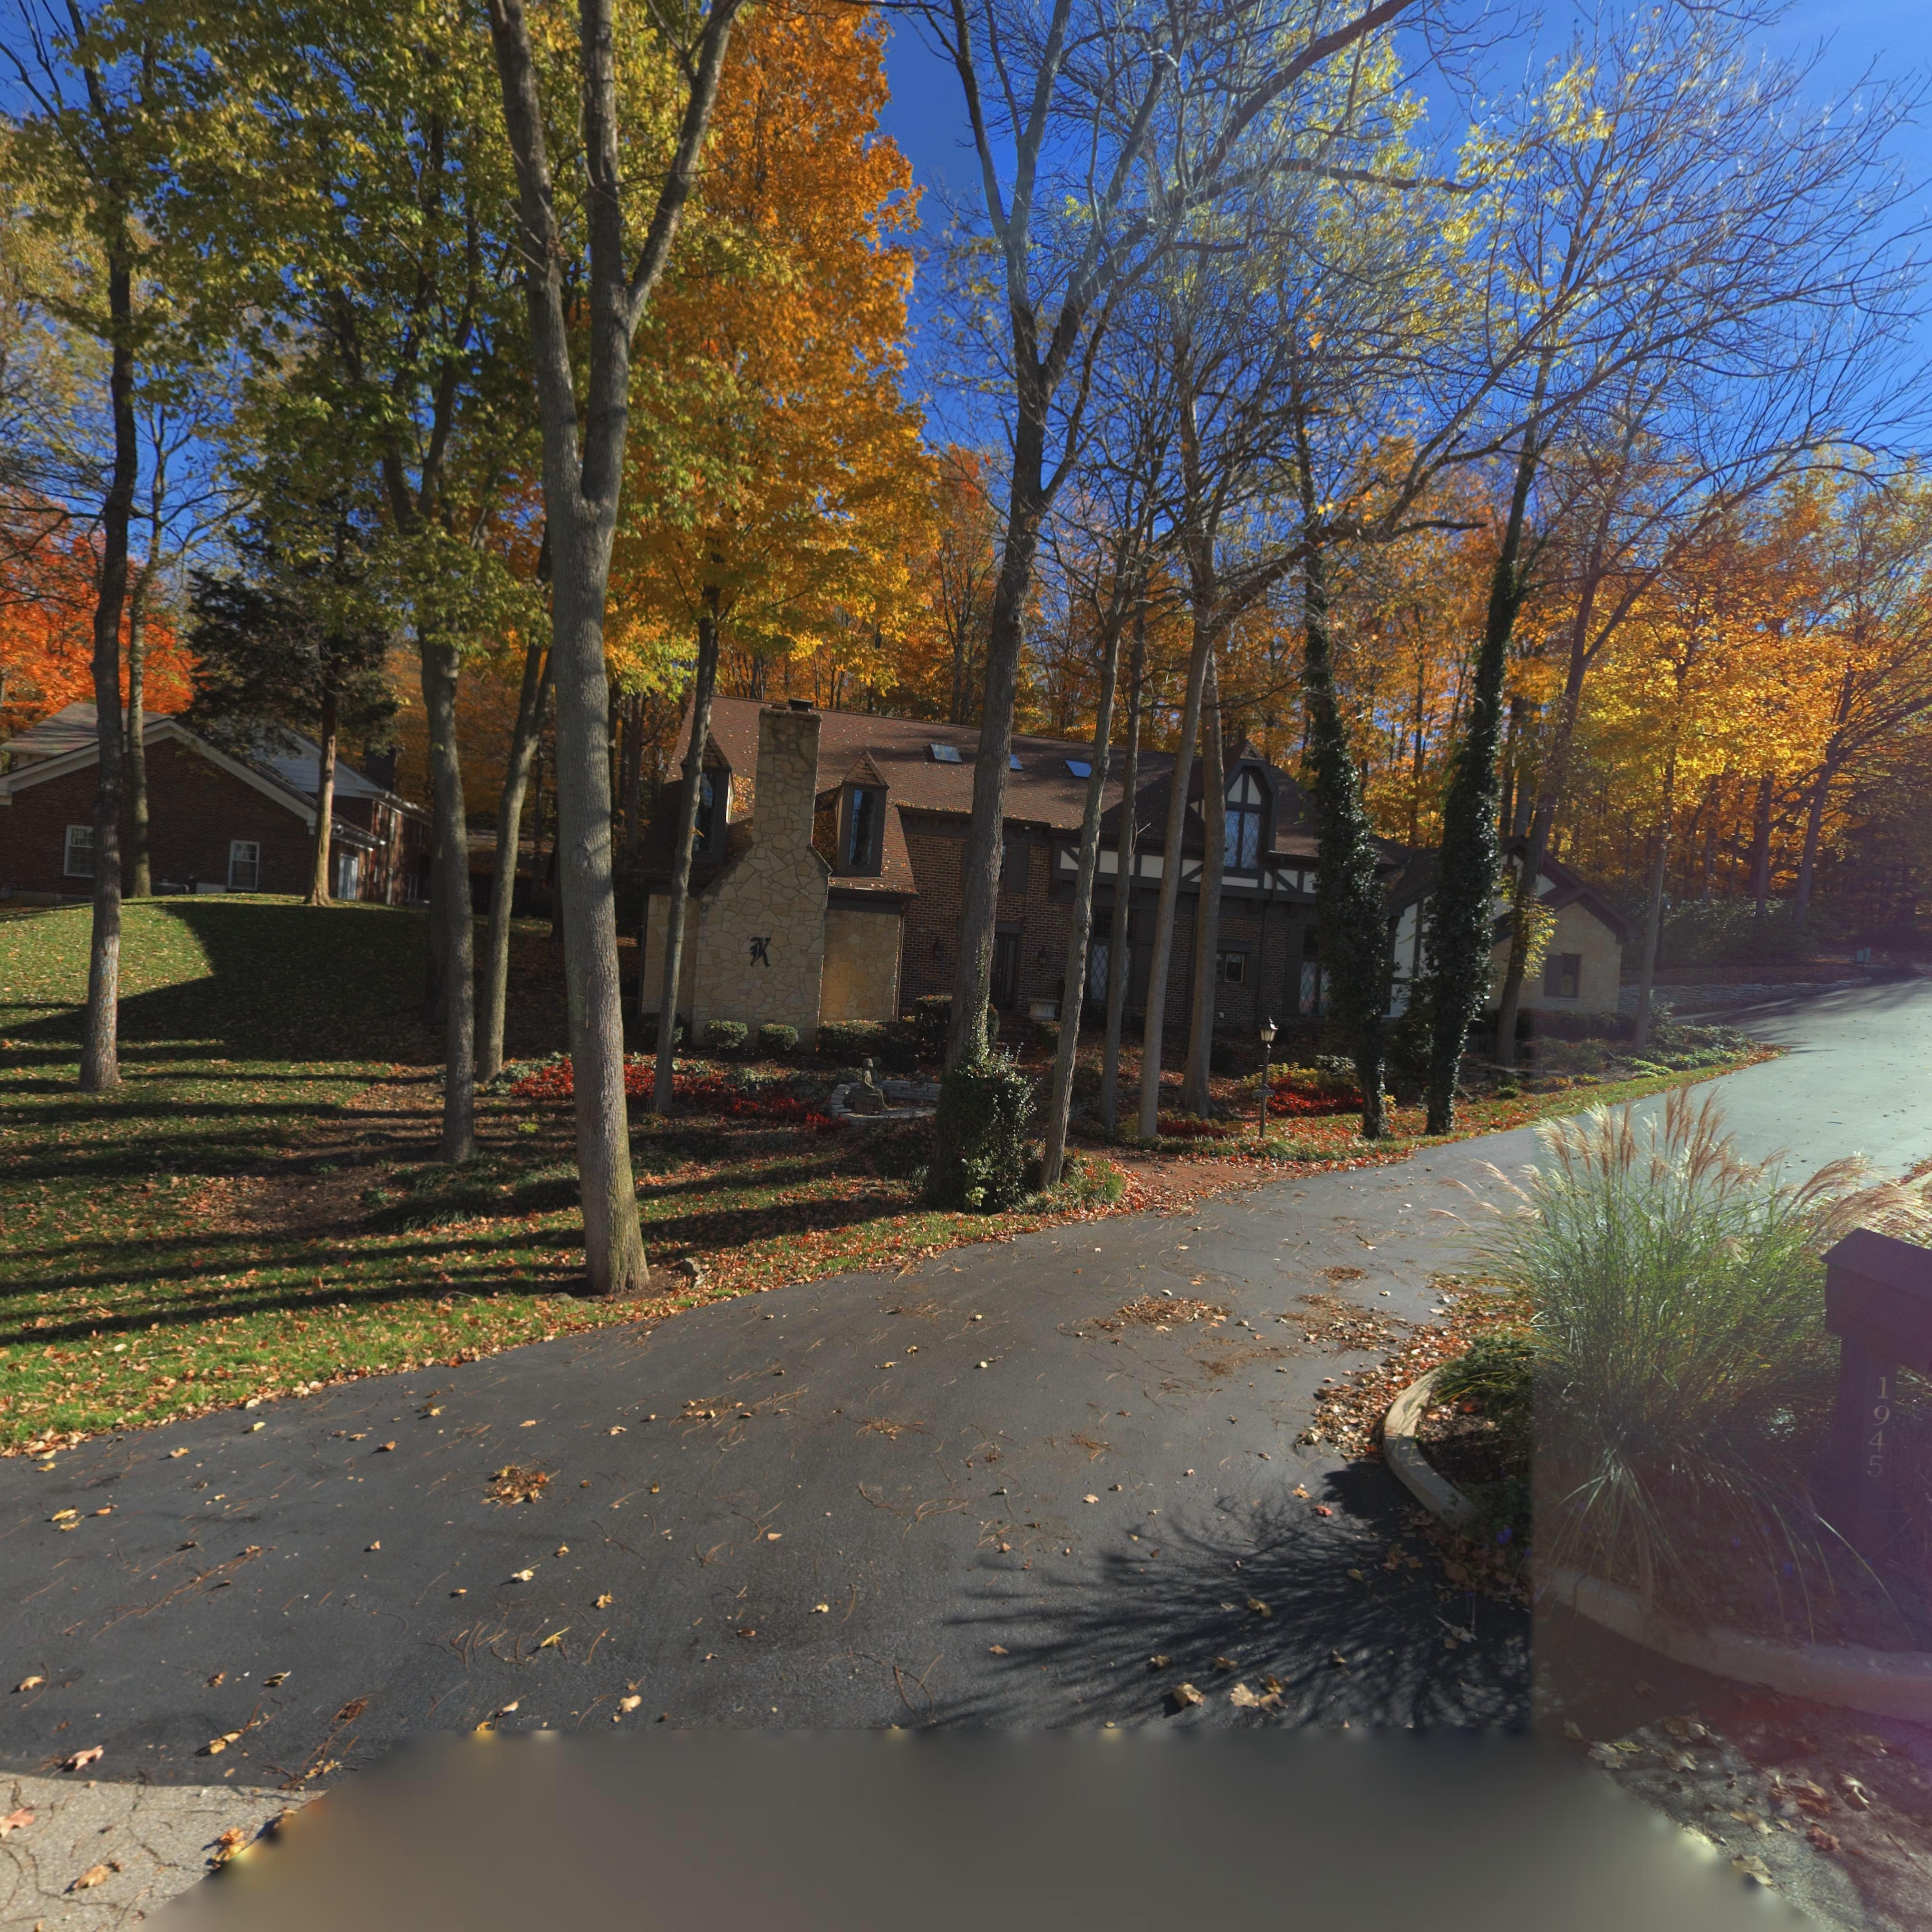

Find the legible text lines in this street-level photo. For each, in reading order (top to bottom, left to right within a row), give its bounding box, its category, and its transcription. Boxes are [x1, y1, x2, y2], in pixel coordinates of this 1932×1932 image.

[1865, 1374, 1893, 1481] StreetNumber: 1945